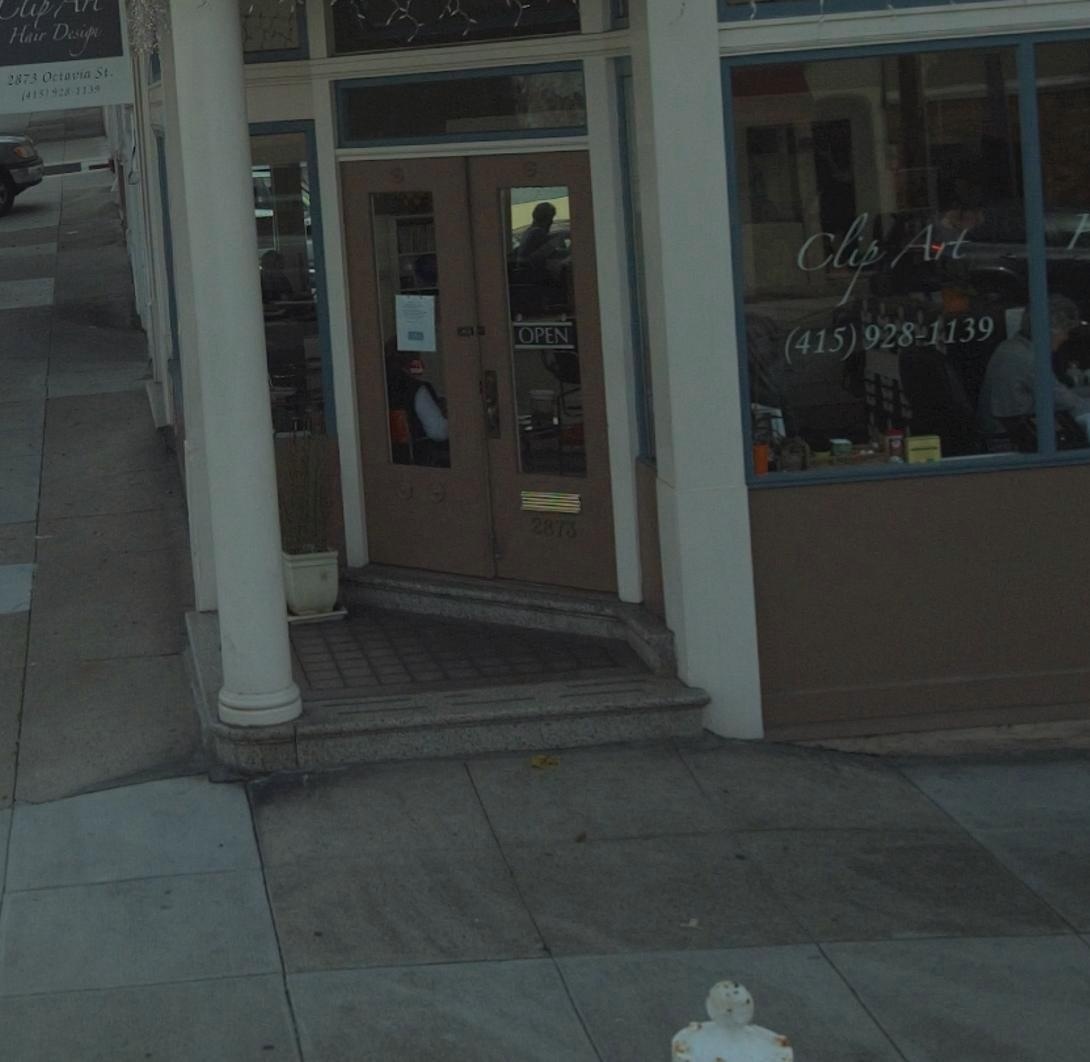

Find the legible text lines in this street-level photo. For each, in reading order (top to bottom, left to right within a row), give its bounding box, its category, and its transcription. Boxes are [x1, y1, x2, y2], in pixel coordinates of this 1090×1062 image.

[6, 20, 104, 58] BusinessName: Hair Designe
[4, 69, 41, 89] StreetNumber: 2873
[40, 64, 117, 86] StreetName: Octavin St.
[19, 82, 103, 105] None: (415) 928-1139
[795, 208, 973, 308] BusinessName: Clip Art
[515, 324, 571, 347] None: OPEN
[782, 313, 998, 368] None: (415) 928-1139
[529, 515, 579, 542] StreetNumber: 2873